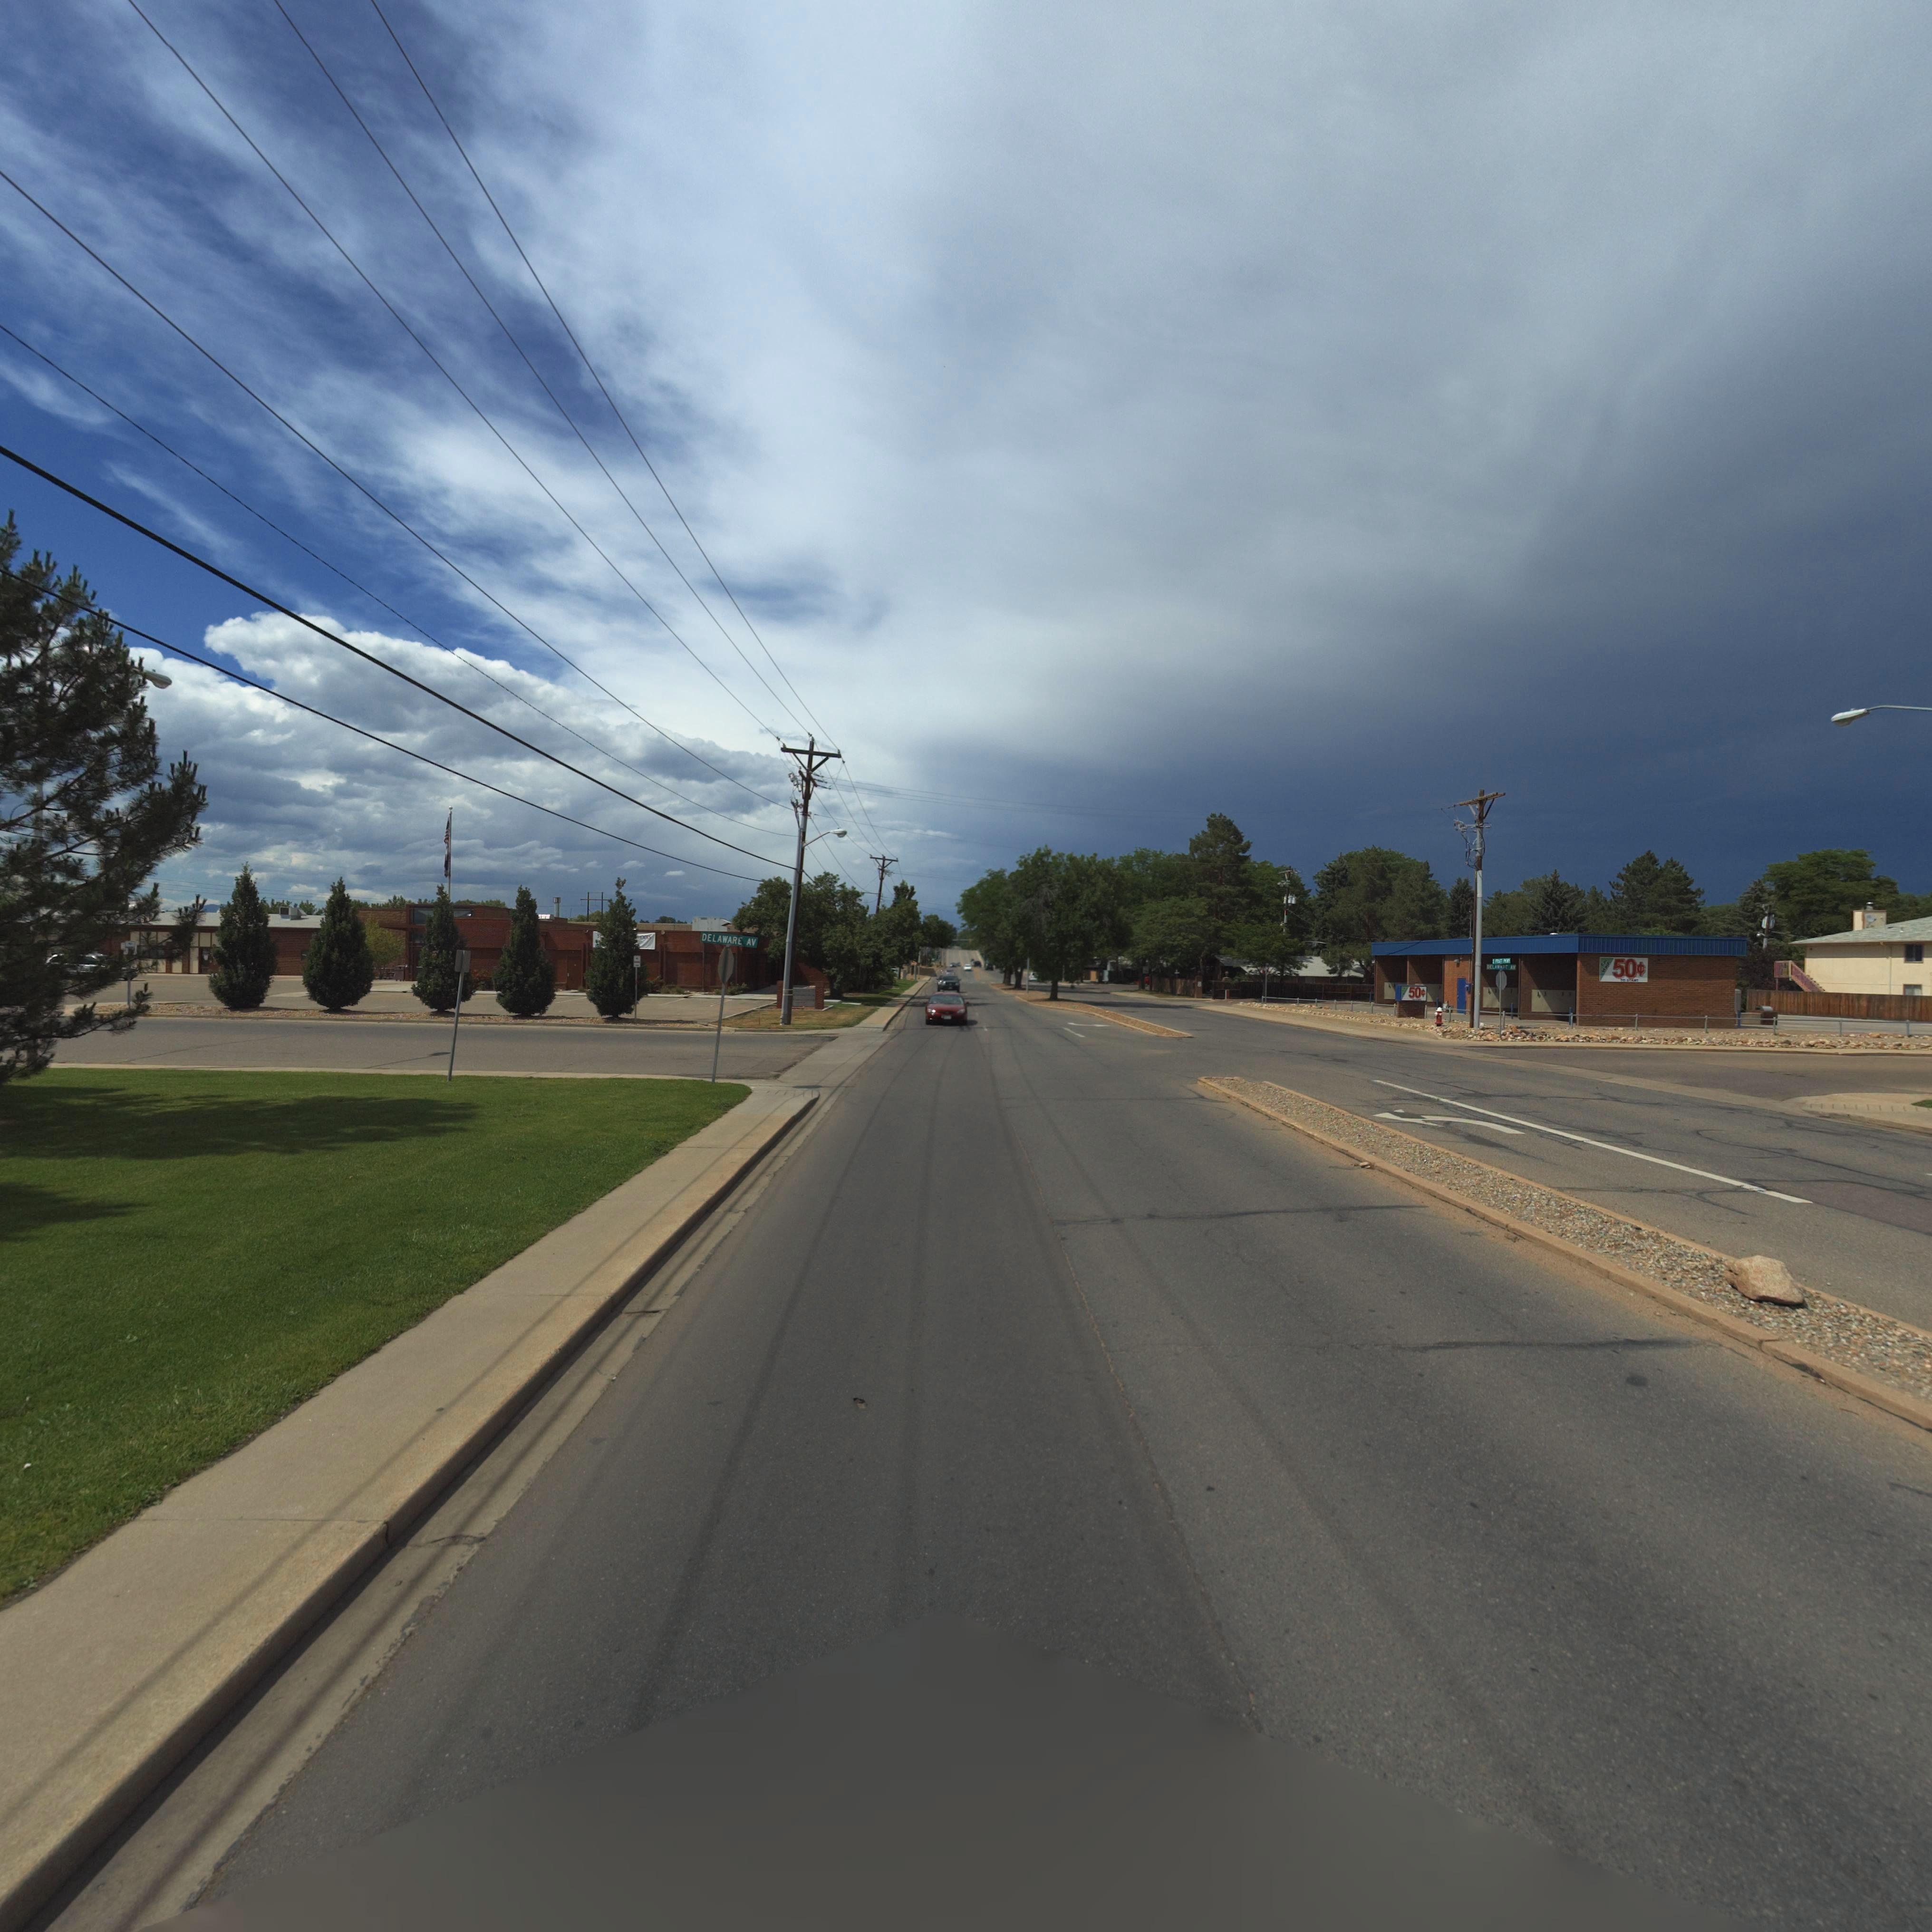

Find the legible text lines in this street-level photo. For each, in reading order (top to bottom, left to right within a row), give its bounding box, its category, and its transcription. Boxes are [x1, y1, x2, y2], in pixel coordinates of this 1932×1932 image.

[639, 934, 652, 939] BusinessName: OOLS
[701, 932, 757, 947] StreetName: DELEWARE AV
[1492, 958, 1511, 964] StreetName: S PRATT PKWY
[1486, 964, 1516, 970] StreetName: DELEWARE AV